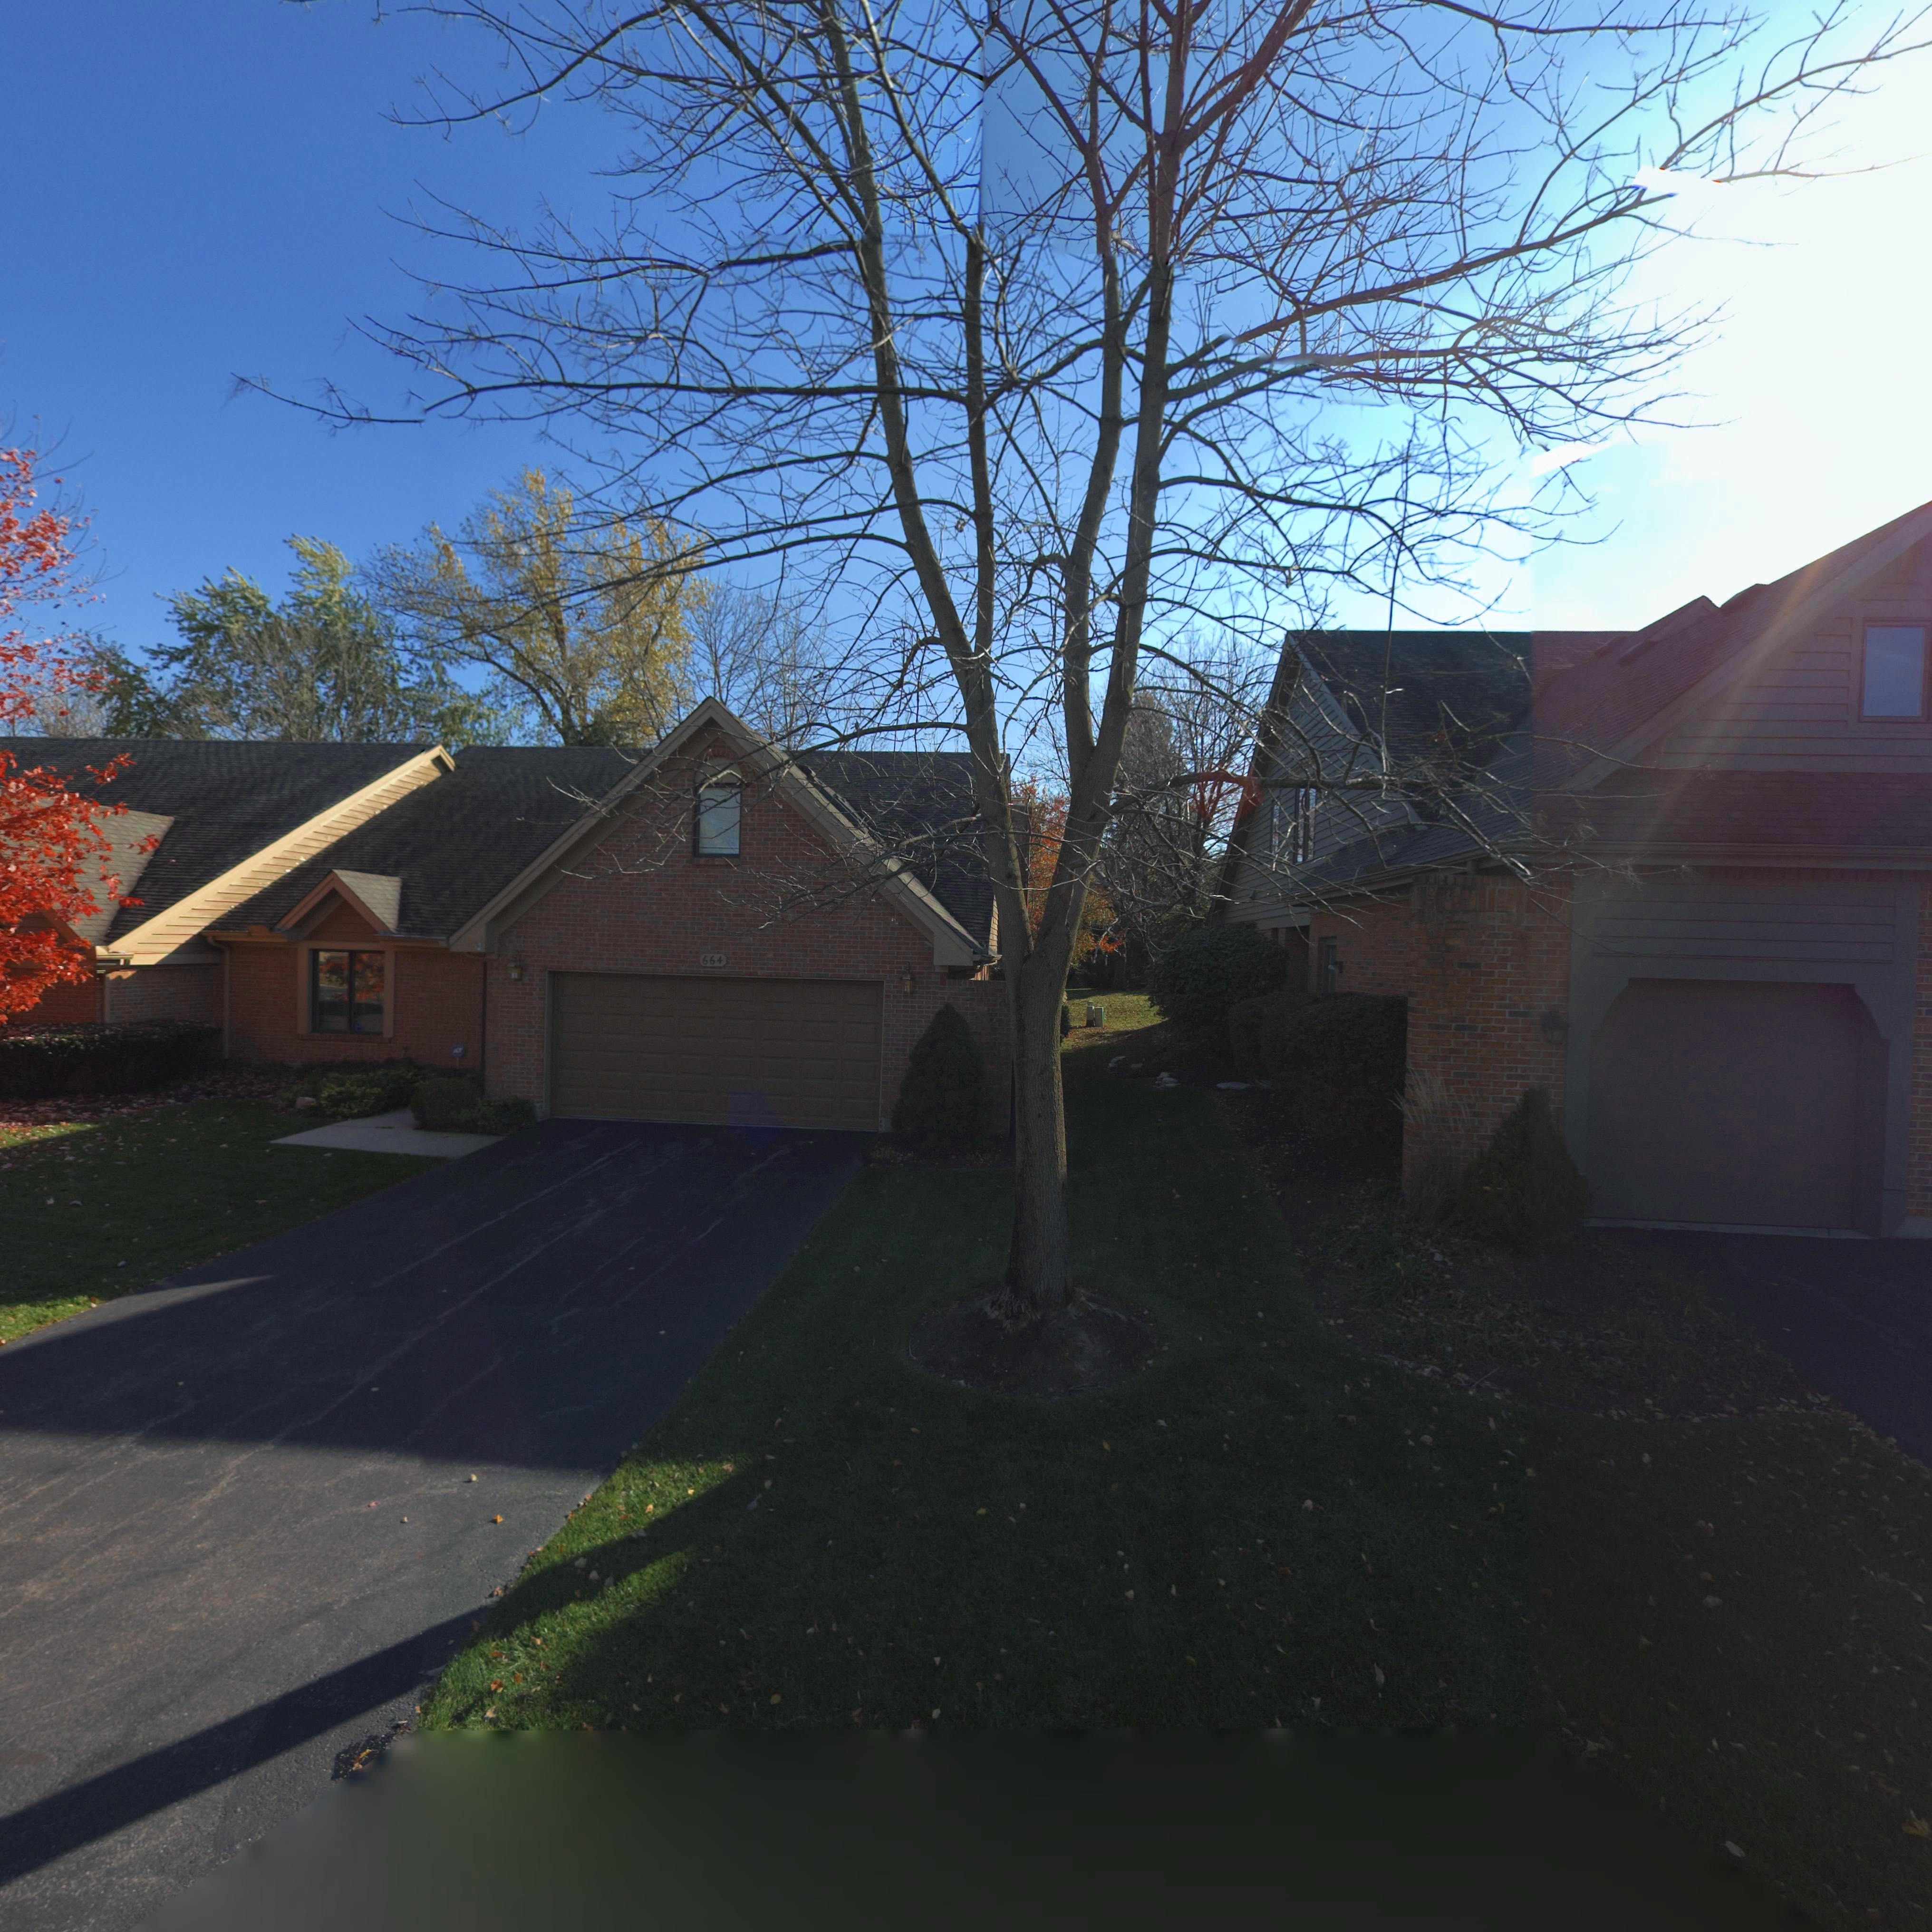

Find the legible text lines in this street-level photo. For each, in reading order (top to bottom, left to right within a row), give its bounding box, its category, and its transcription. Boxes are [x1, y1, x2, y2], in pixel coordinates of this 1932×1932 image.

[701, 954, 724, 966] StreetNumber: 664